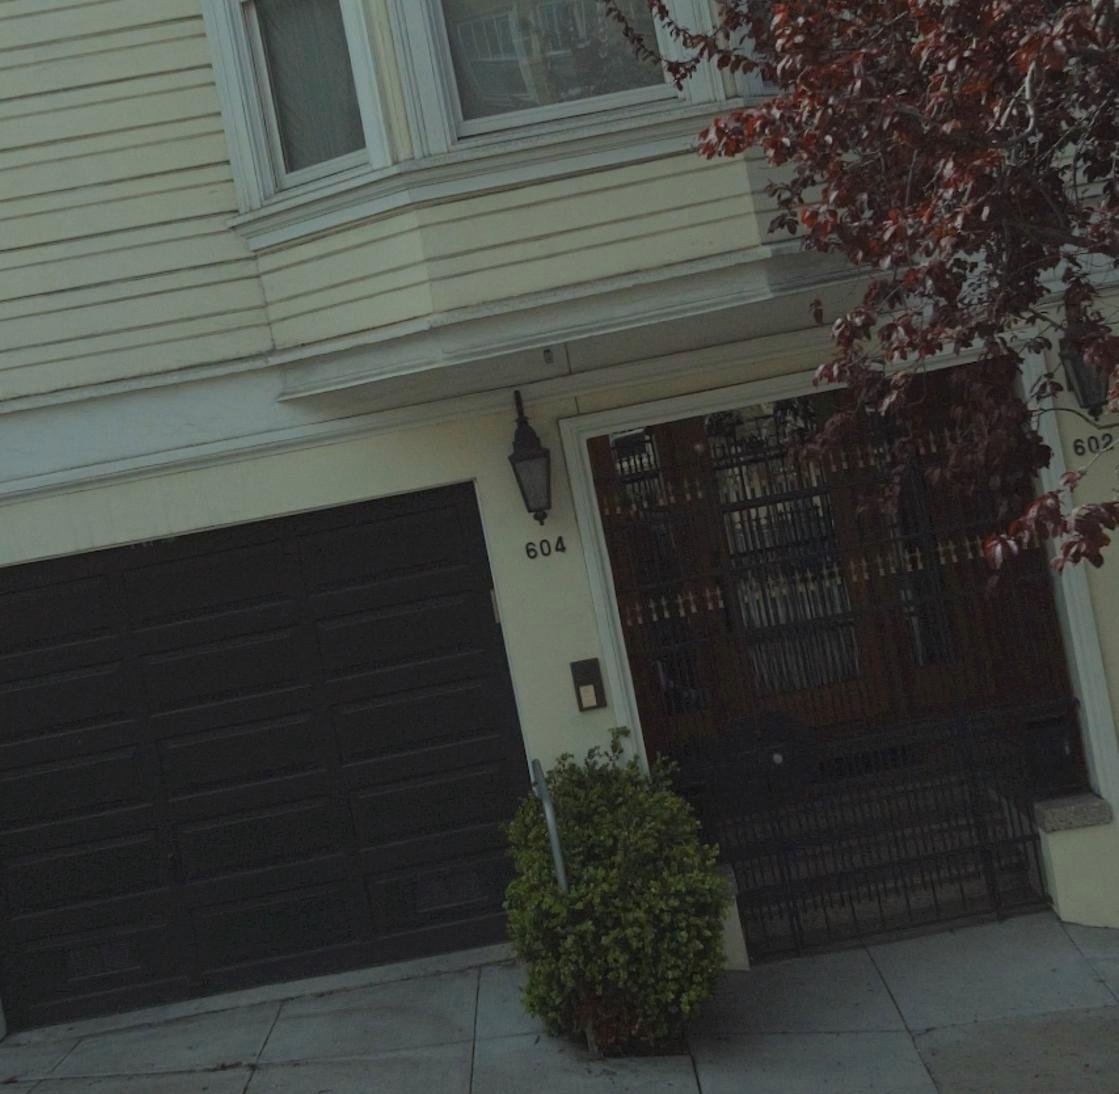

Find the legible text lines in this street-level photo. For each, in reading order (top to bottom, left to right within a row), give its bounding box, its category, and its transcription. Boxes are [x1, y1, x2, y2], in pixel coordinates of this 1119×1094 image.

[523, 534, 569, 561] StreetNumber: 604